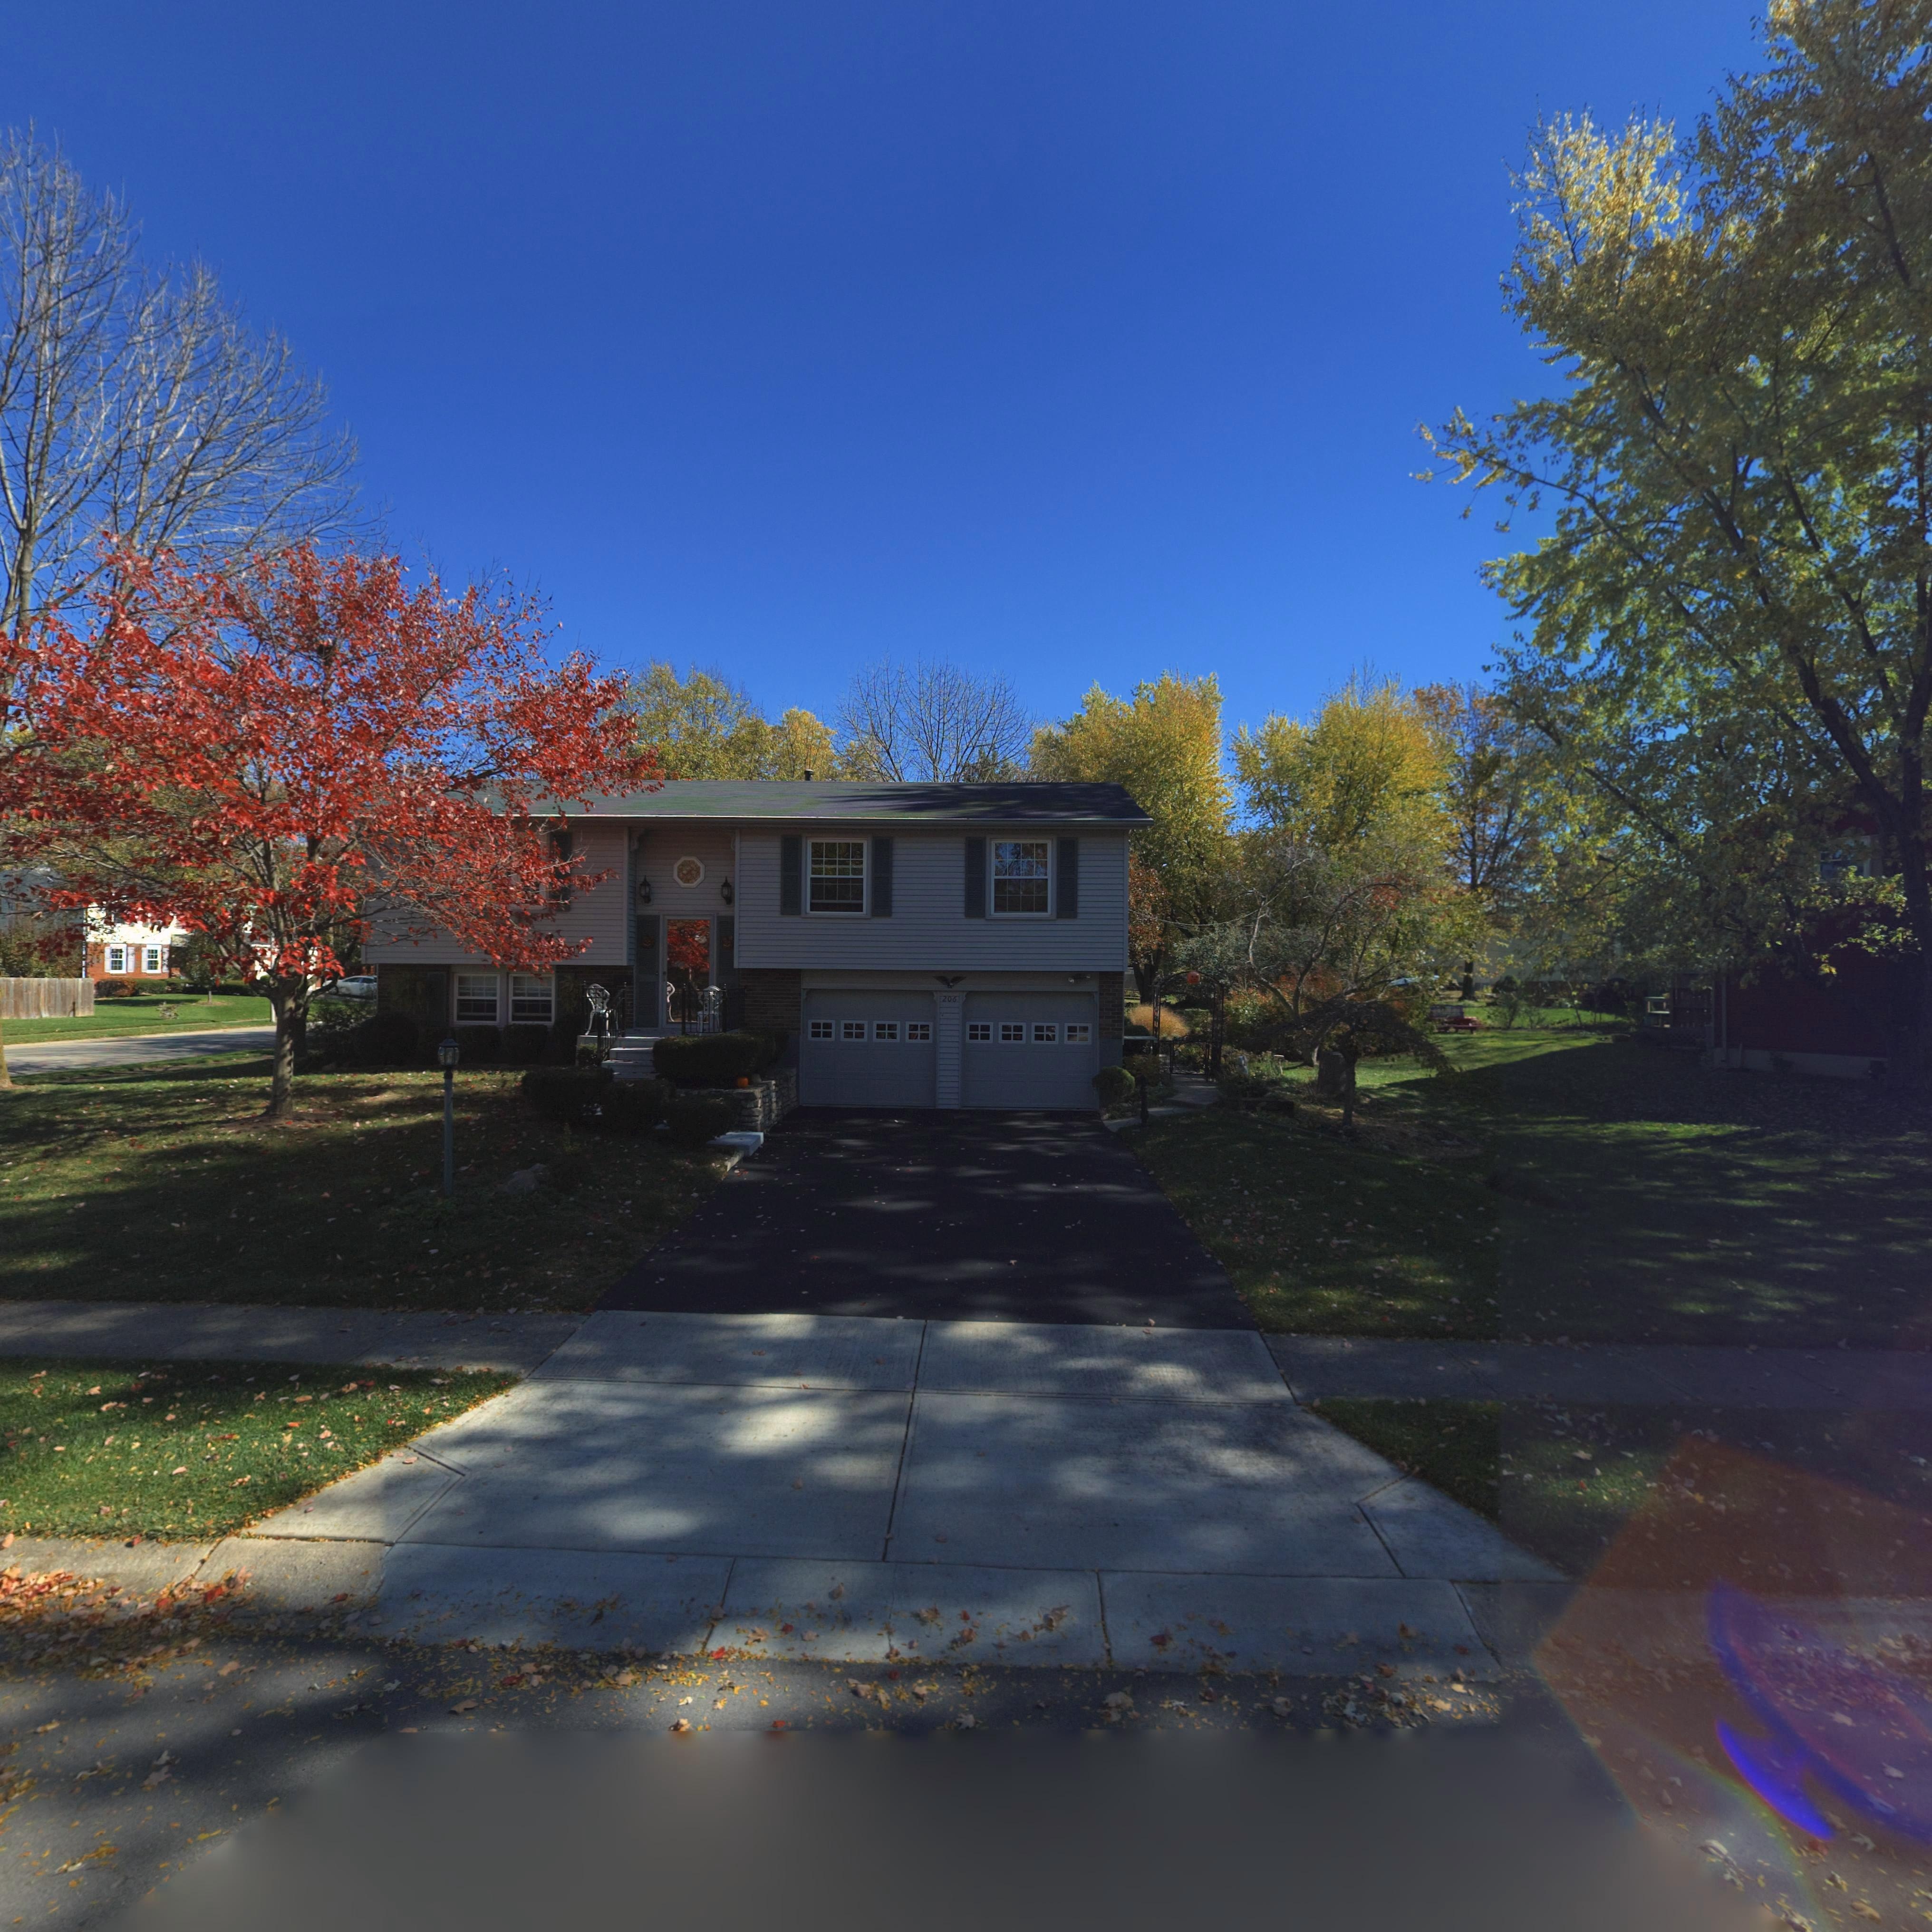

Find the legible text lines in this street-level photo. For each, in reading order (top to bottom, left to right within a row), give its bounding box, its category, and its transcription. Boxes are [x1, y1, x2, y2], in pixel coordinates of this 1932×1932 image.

[941, 995, 957, 1003] StreetNumber: 206